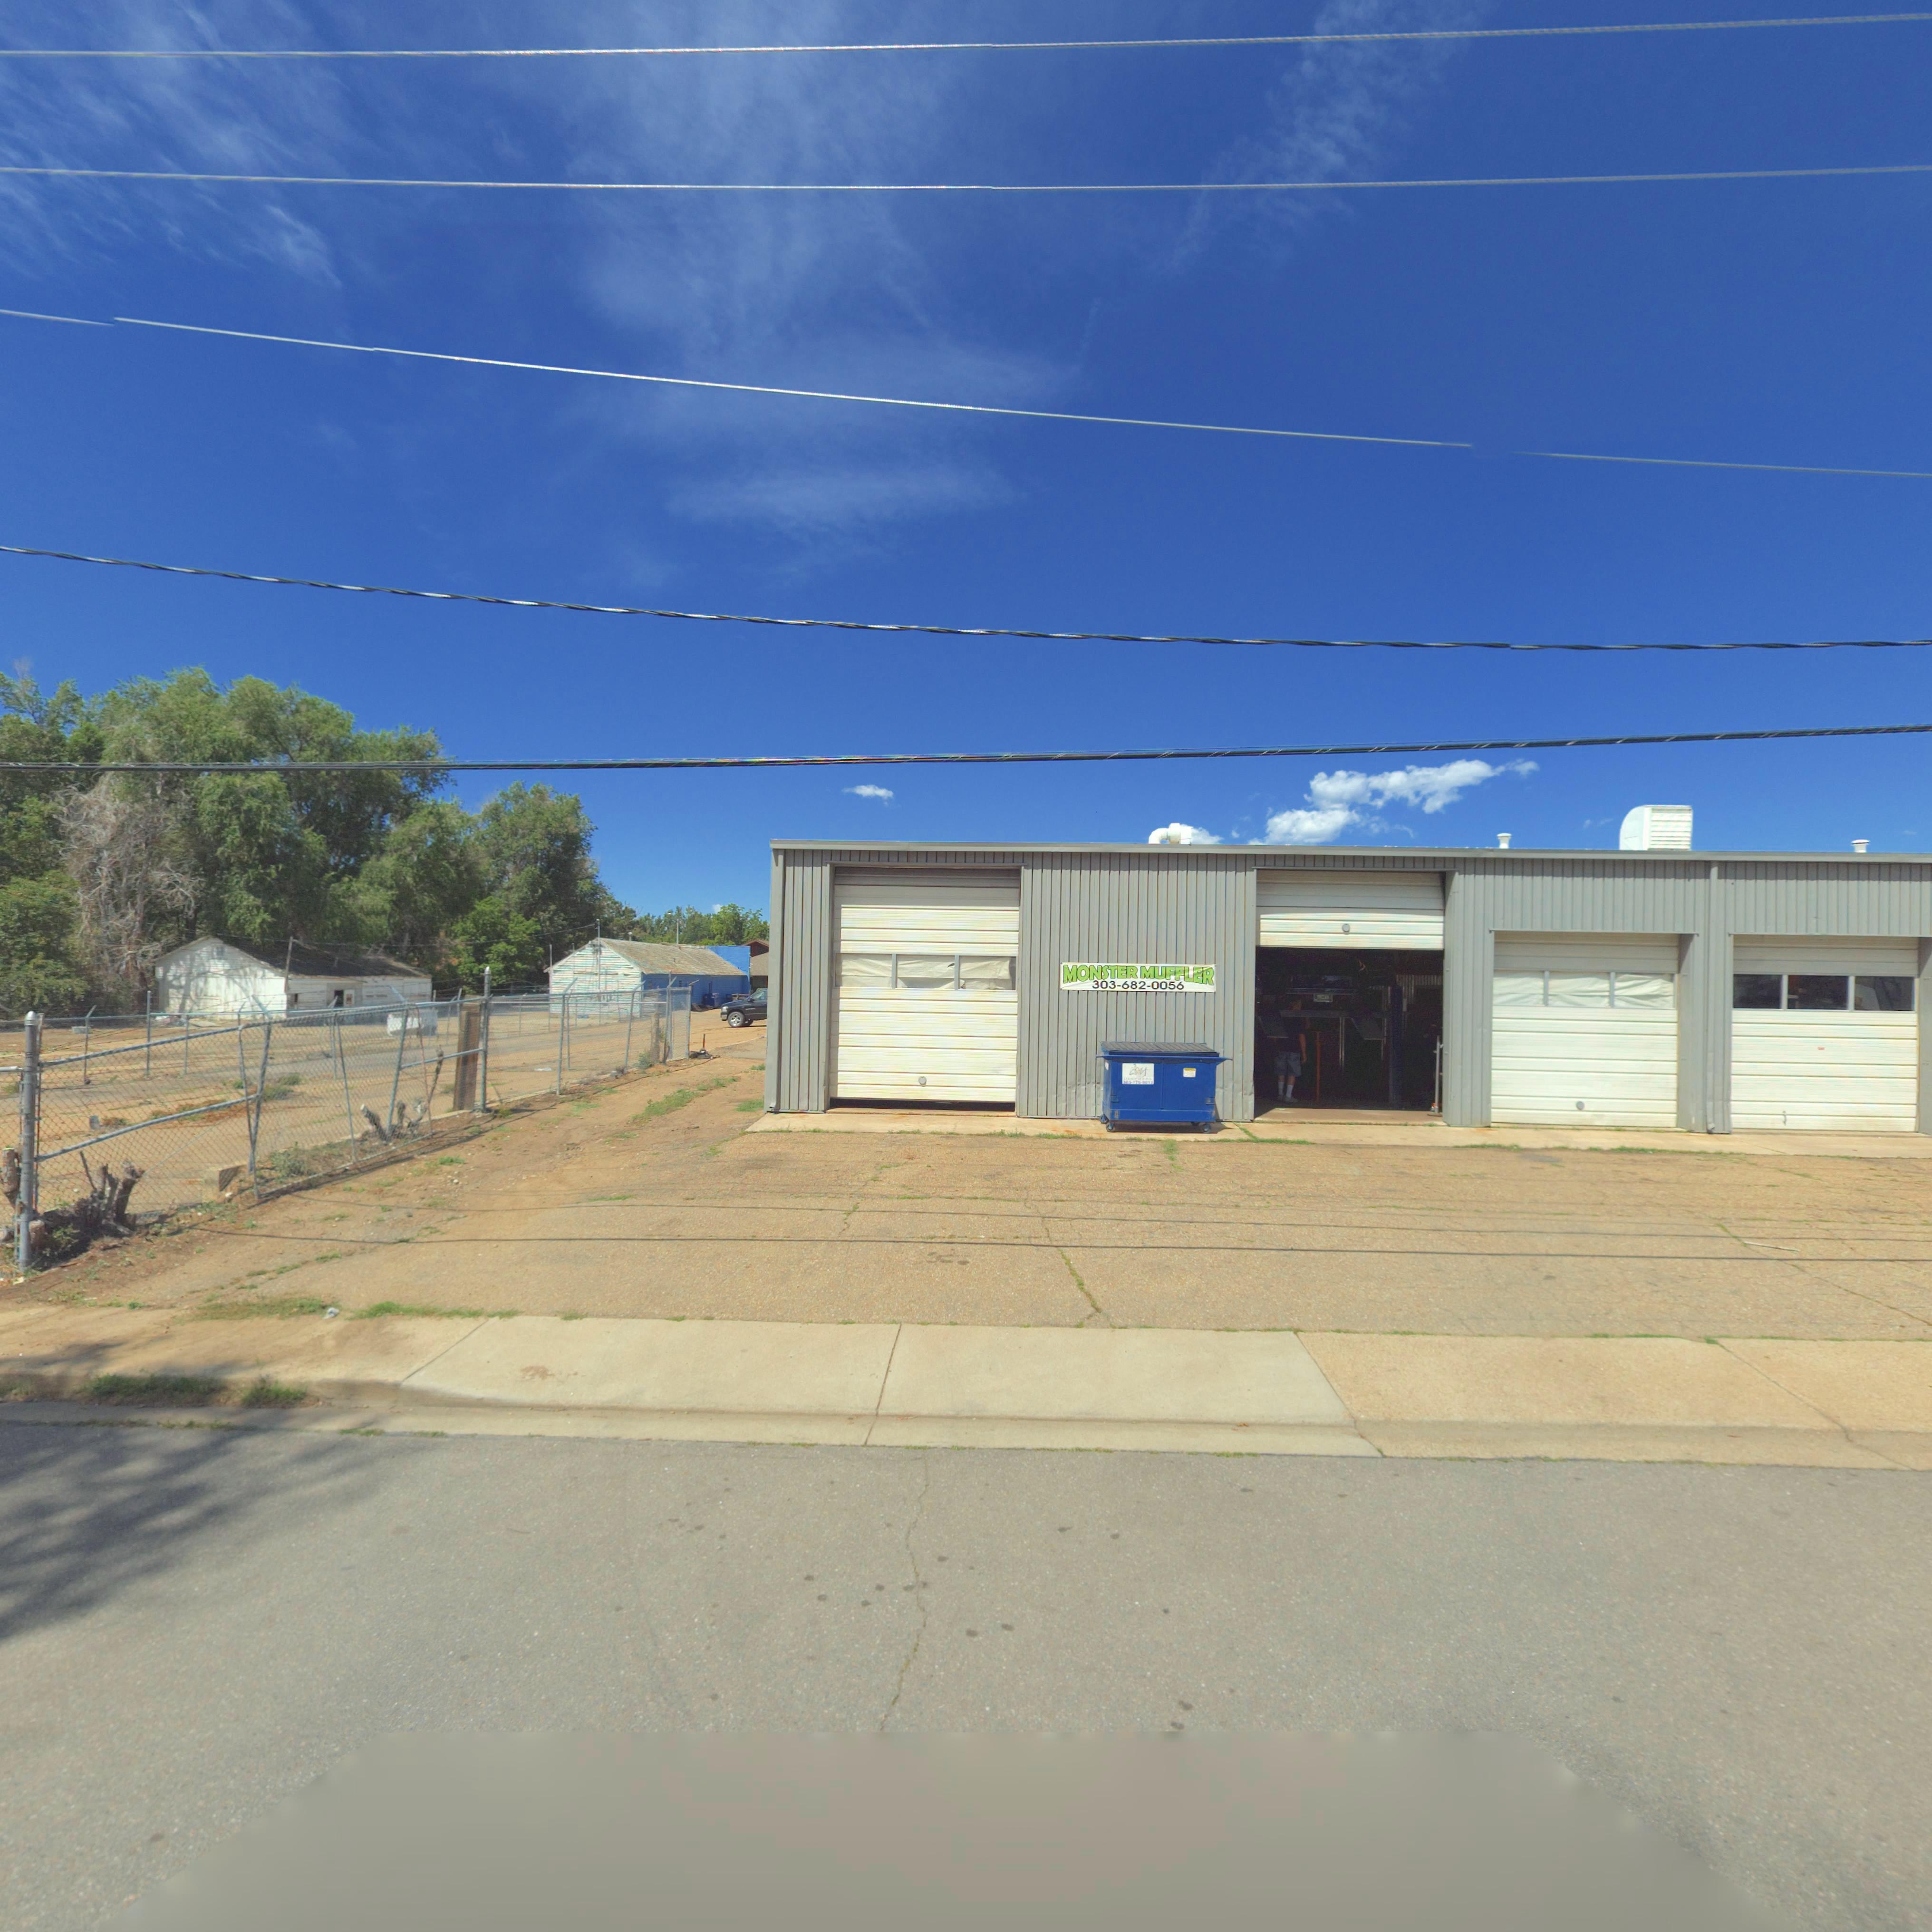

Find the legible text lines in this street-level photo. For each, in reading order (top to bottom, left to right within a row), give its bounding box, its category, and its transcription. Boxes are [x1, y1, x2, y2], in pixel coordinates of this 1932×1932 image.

[1062, 964, 1215, 986] BusinessName: MONSTER MUFFLER